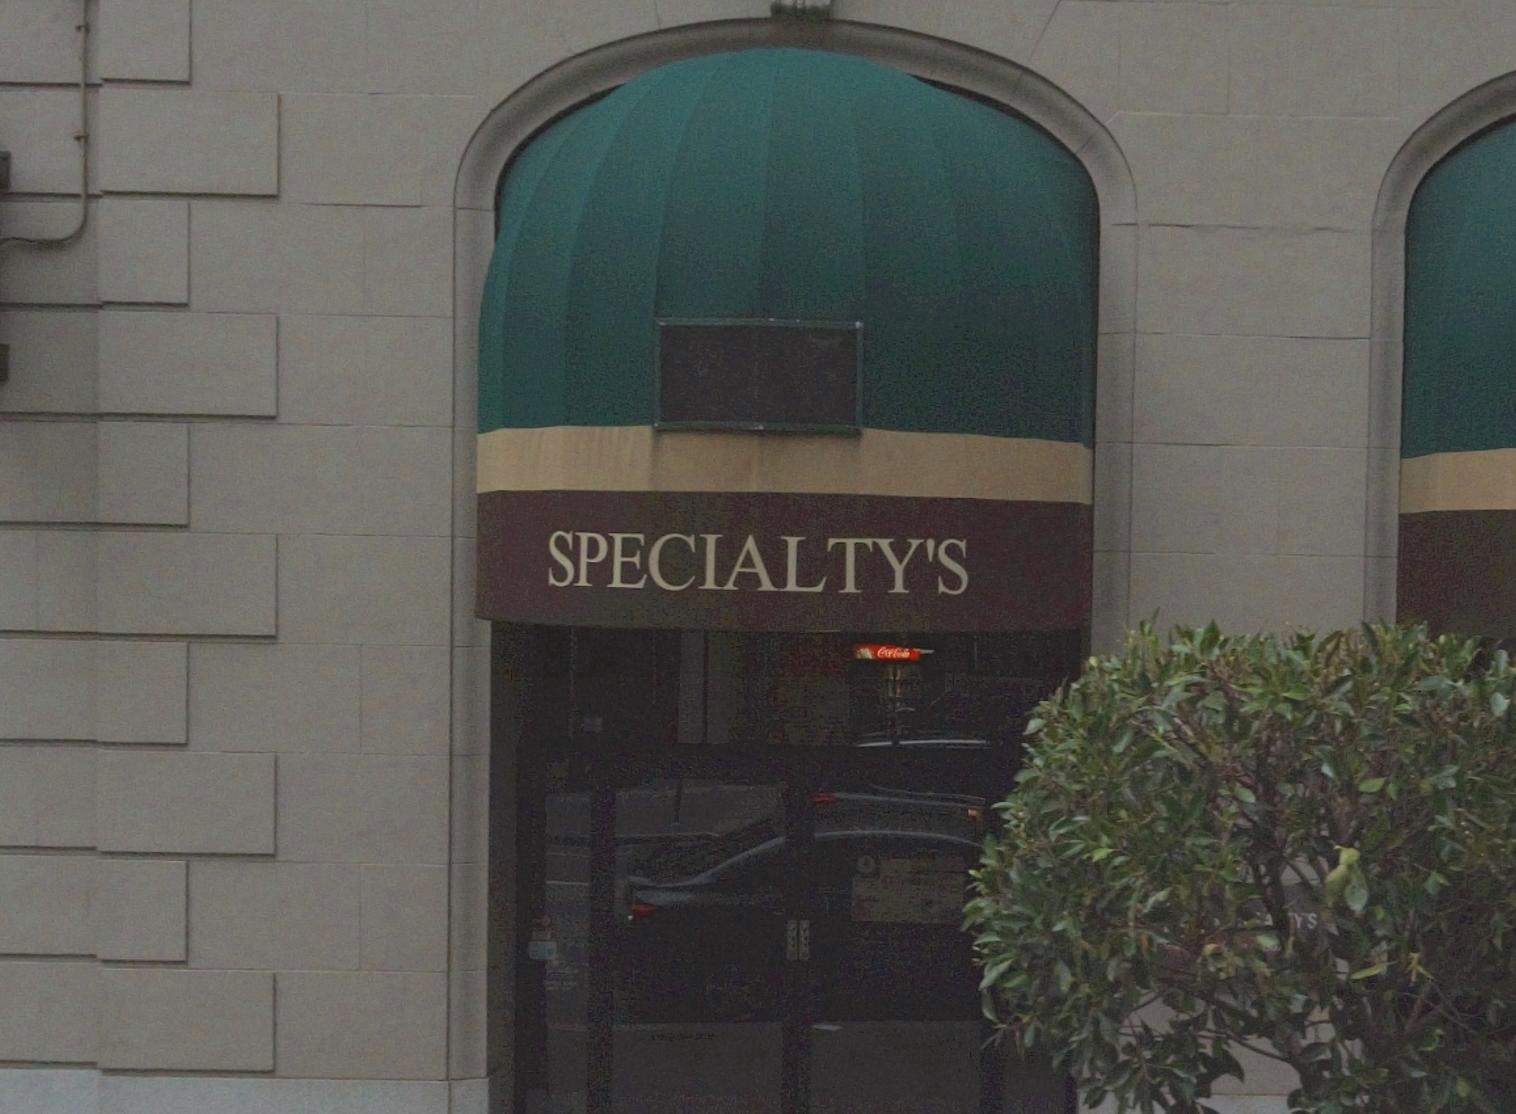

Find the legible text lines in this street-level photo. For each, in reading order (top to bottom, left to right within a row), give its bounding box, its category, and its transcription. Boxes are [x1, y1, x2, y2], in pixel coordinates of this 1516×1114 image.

[545, 527, 972, 598] None: SPECIALTY'S